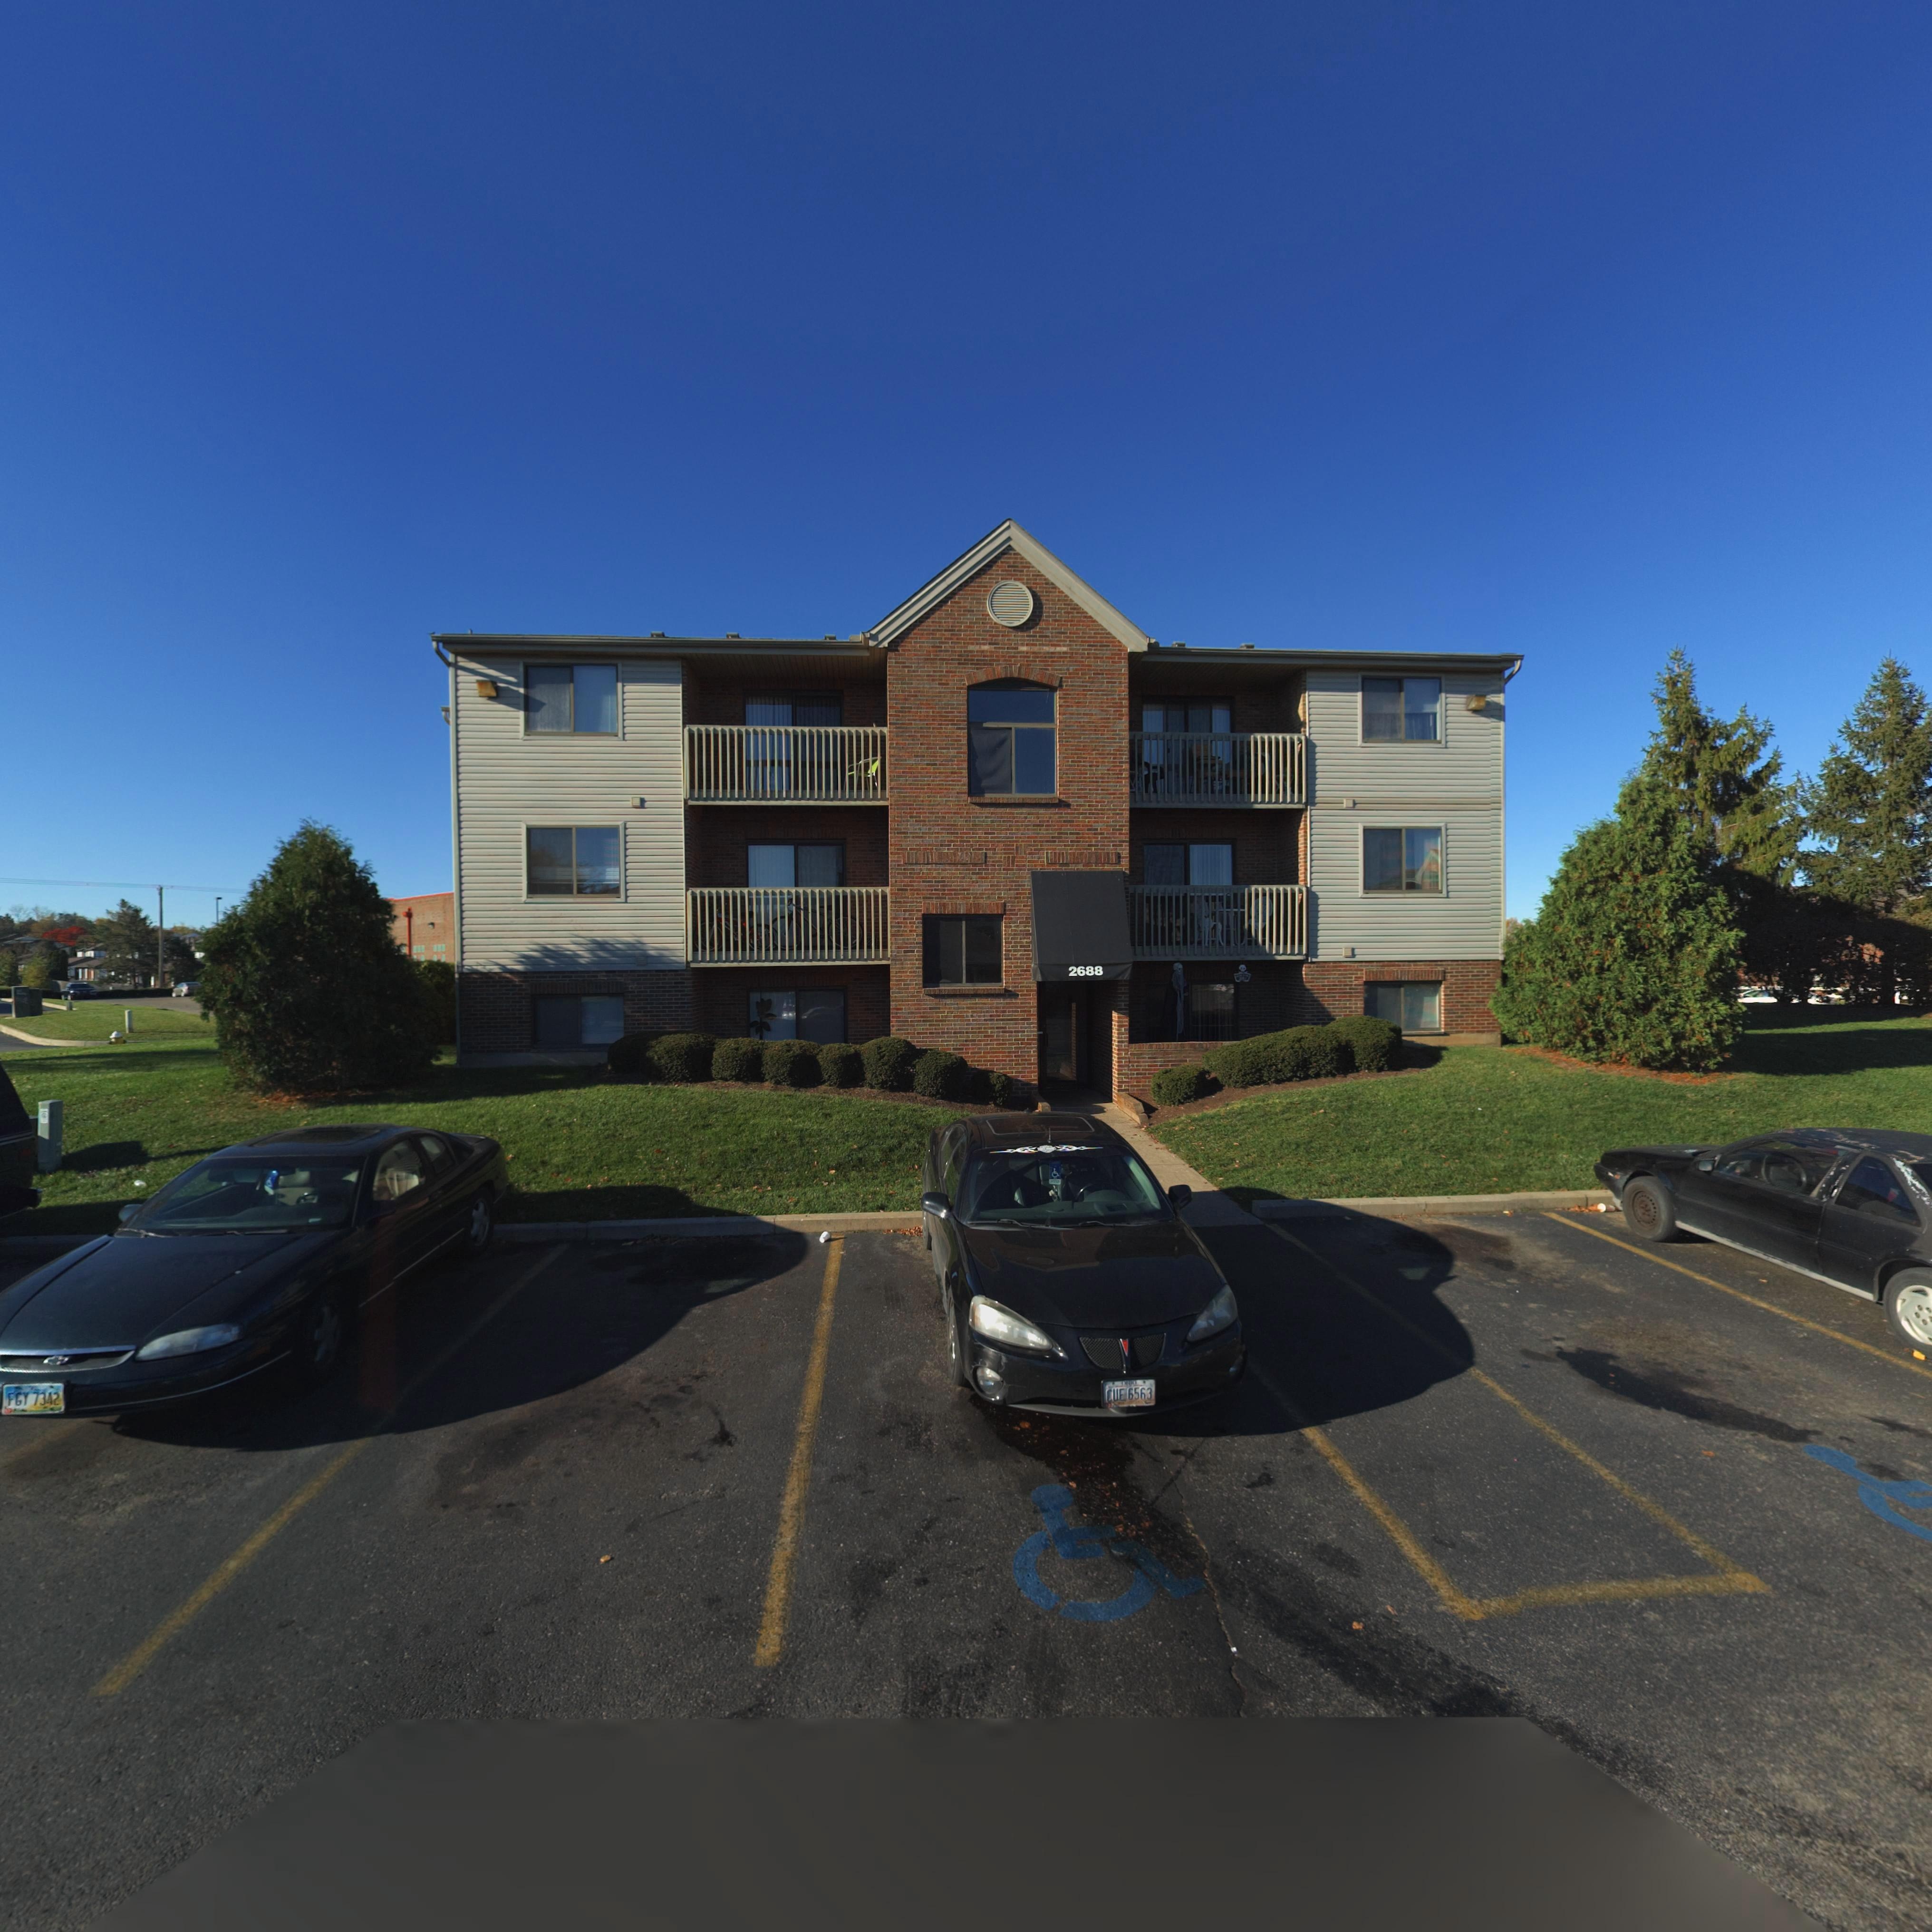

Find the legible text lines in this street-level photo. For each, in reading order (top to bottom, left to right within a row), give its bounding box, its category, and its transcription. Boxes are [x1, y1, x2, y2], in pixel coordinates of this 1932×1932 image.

[1068, 966, 1104, 976] StreetNumber: 2688